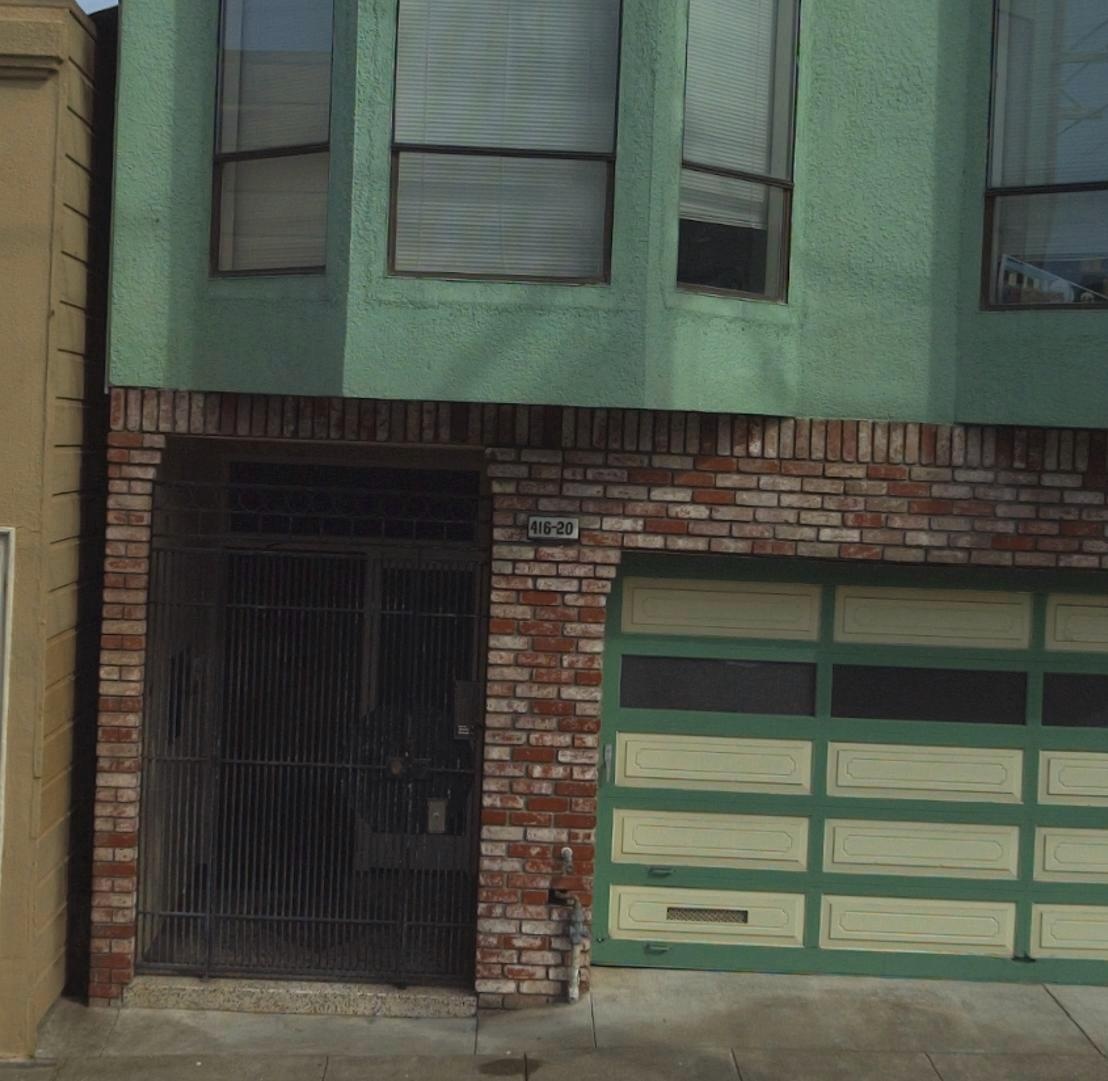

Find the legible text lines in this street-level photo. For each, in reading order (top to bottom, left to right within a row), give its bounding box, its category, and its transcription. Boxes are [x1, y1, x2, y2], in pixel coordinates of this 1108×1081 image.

[529, 519, 575, 536] StreetNumber: 416-20